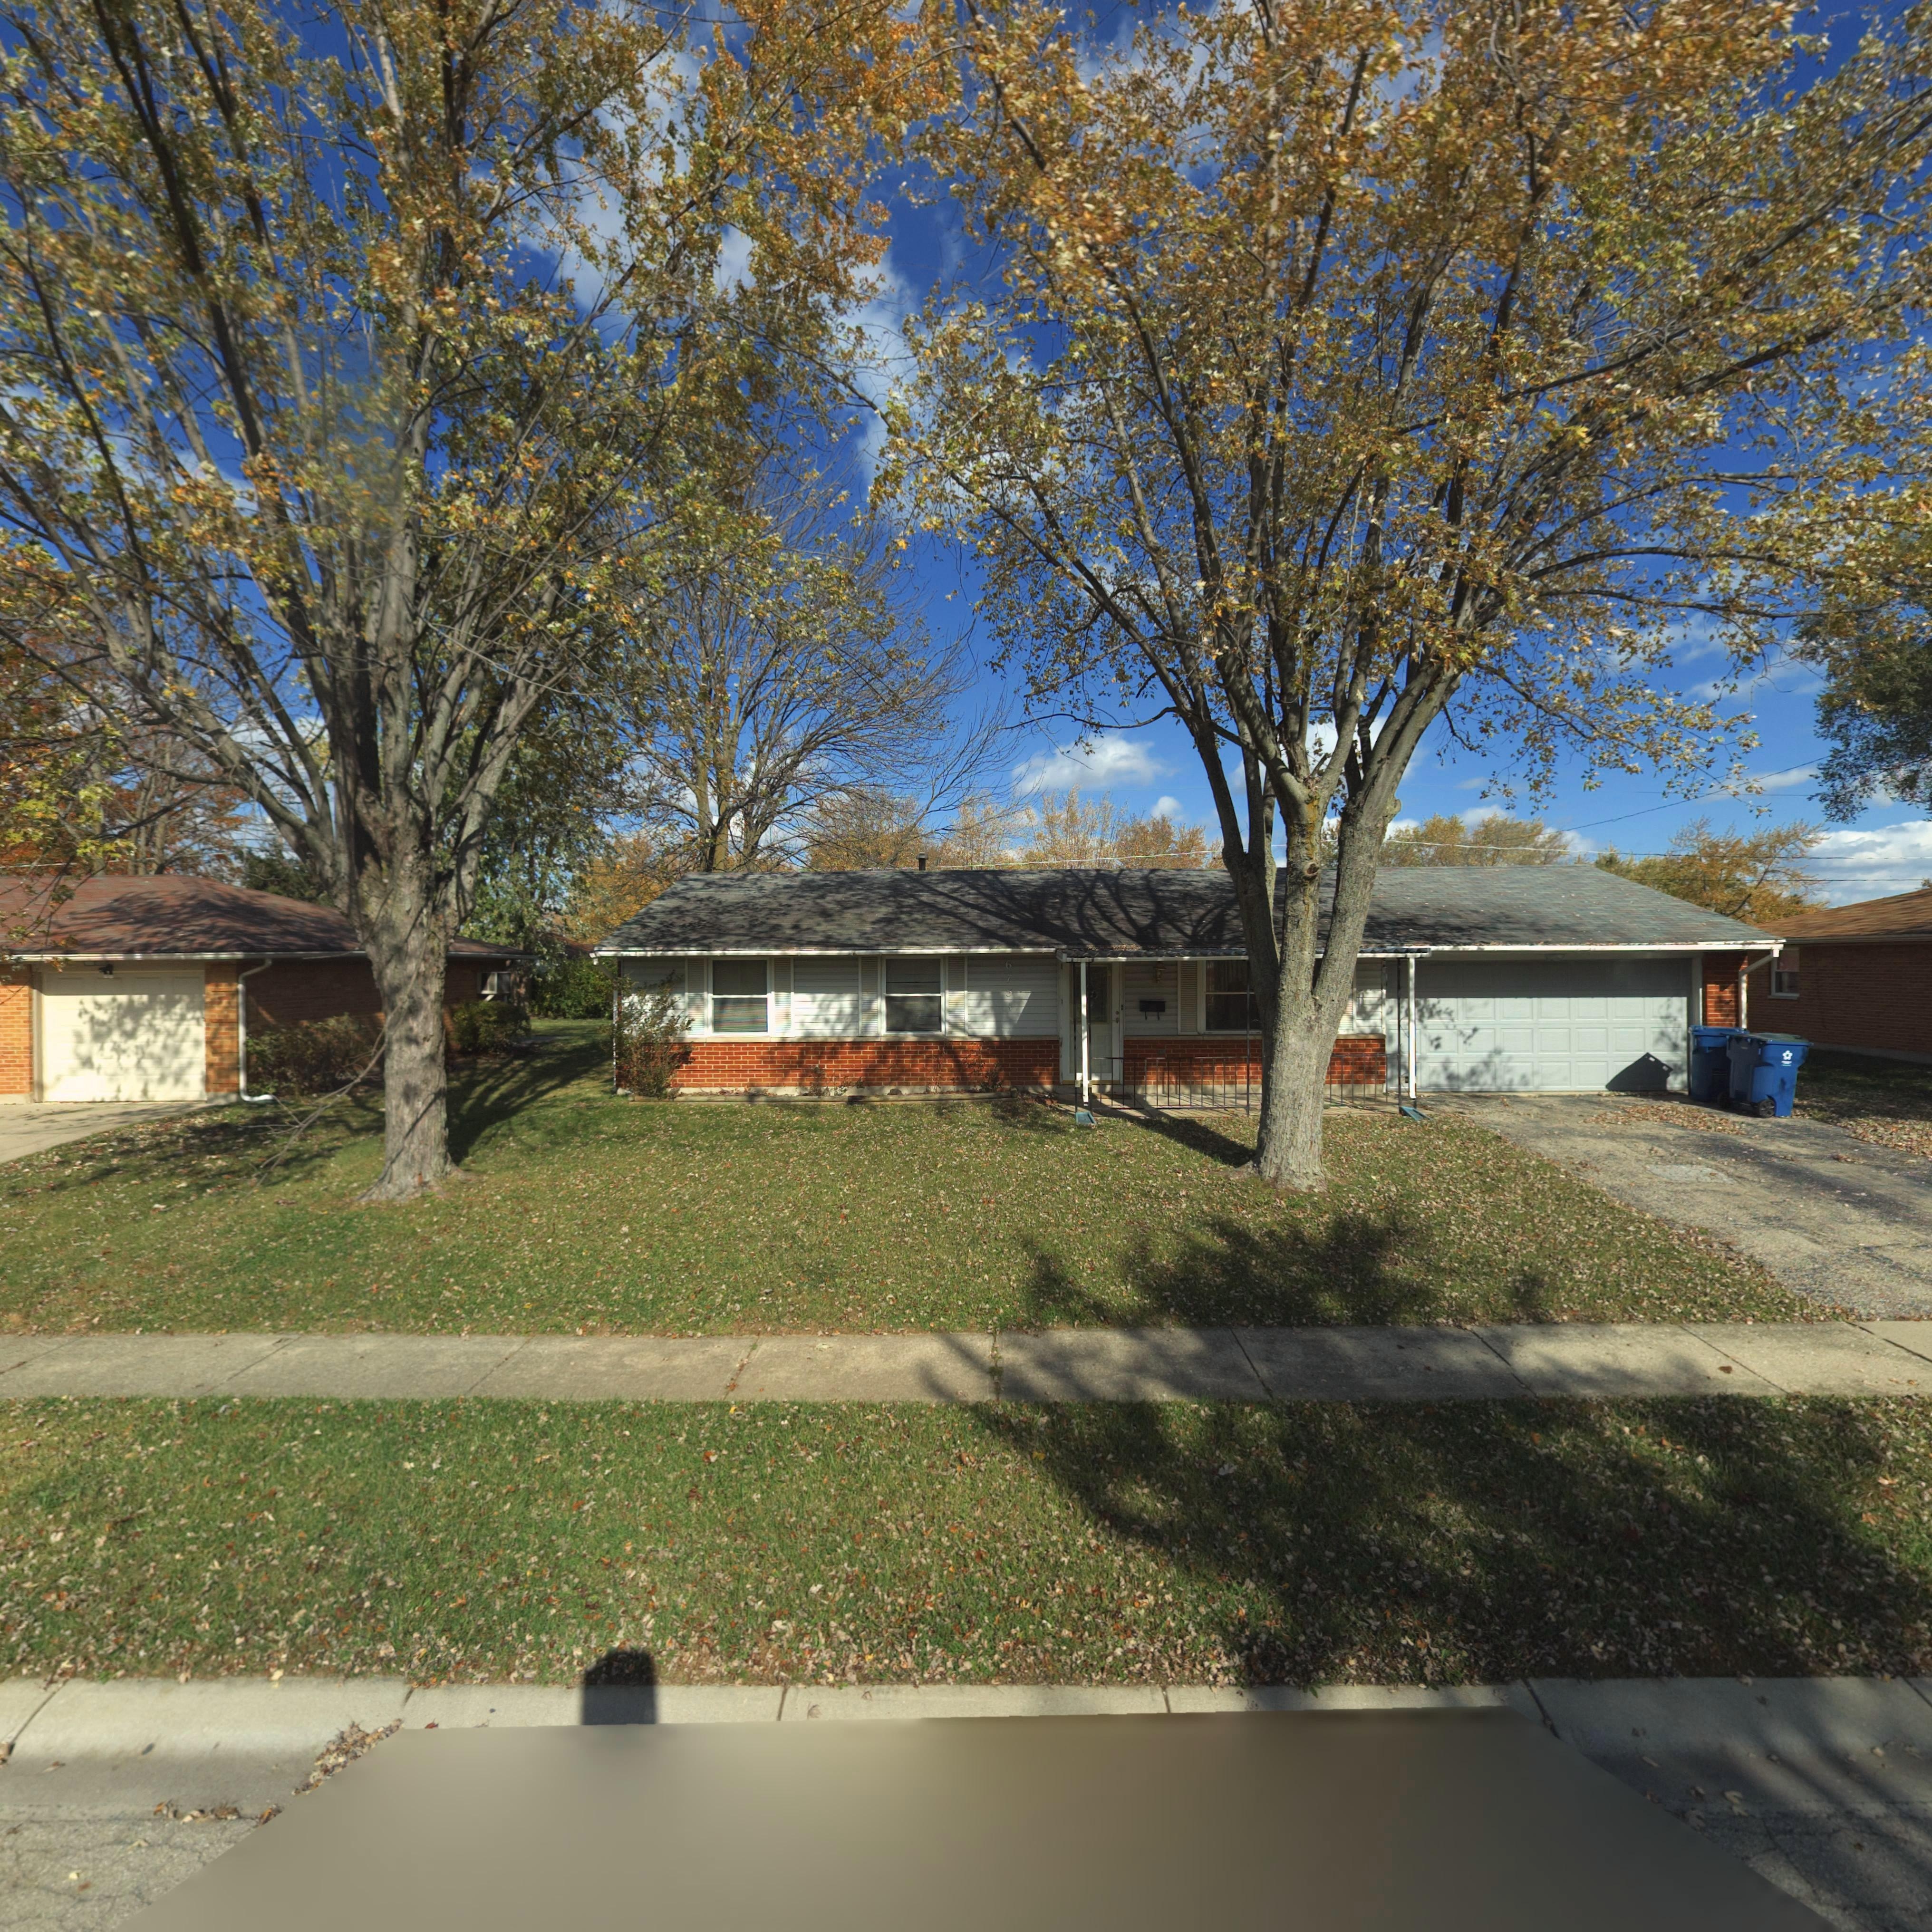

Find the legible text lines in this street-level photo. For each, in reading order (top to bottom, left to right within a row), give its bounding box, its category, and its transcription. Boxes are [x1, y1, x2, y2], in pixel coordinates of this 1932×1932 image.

[1005, 959, 1013, 1011] StreetNumber: 6751